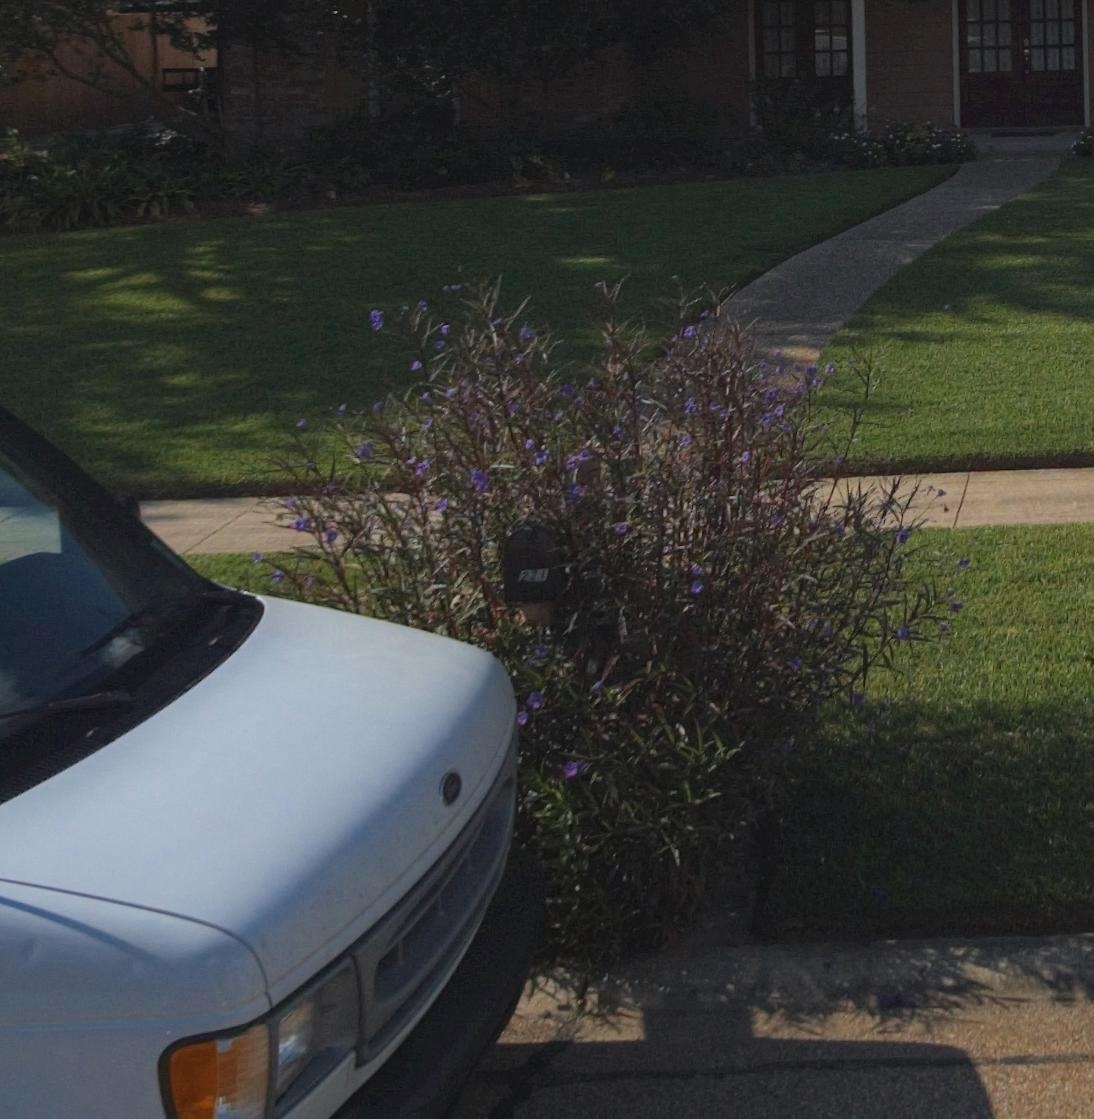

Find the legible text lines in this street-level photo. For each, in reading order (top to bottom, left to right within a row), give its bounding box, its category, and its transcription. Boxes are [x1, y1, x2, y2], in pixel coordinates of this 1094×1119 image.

[520, 570, 546, 582] StreetNumber: 221